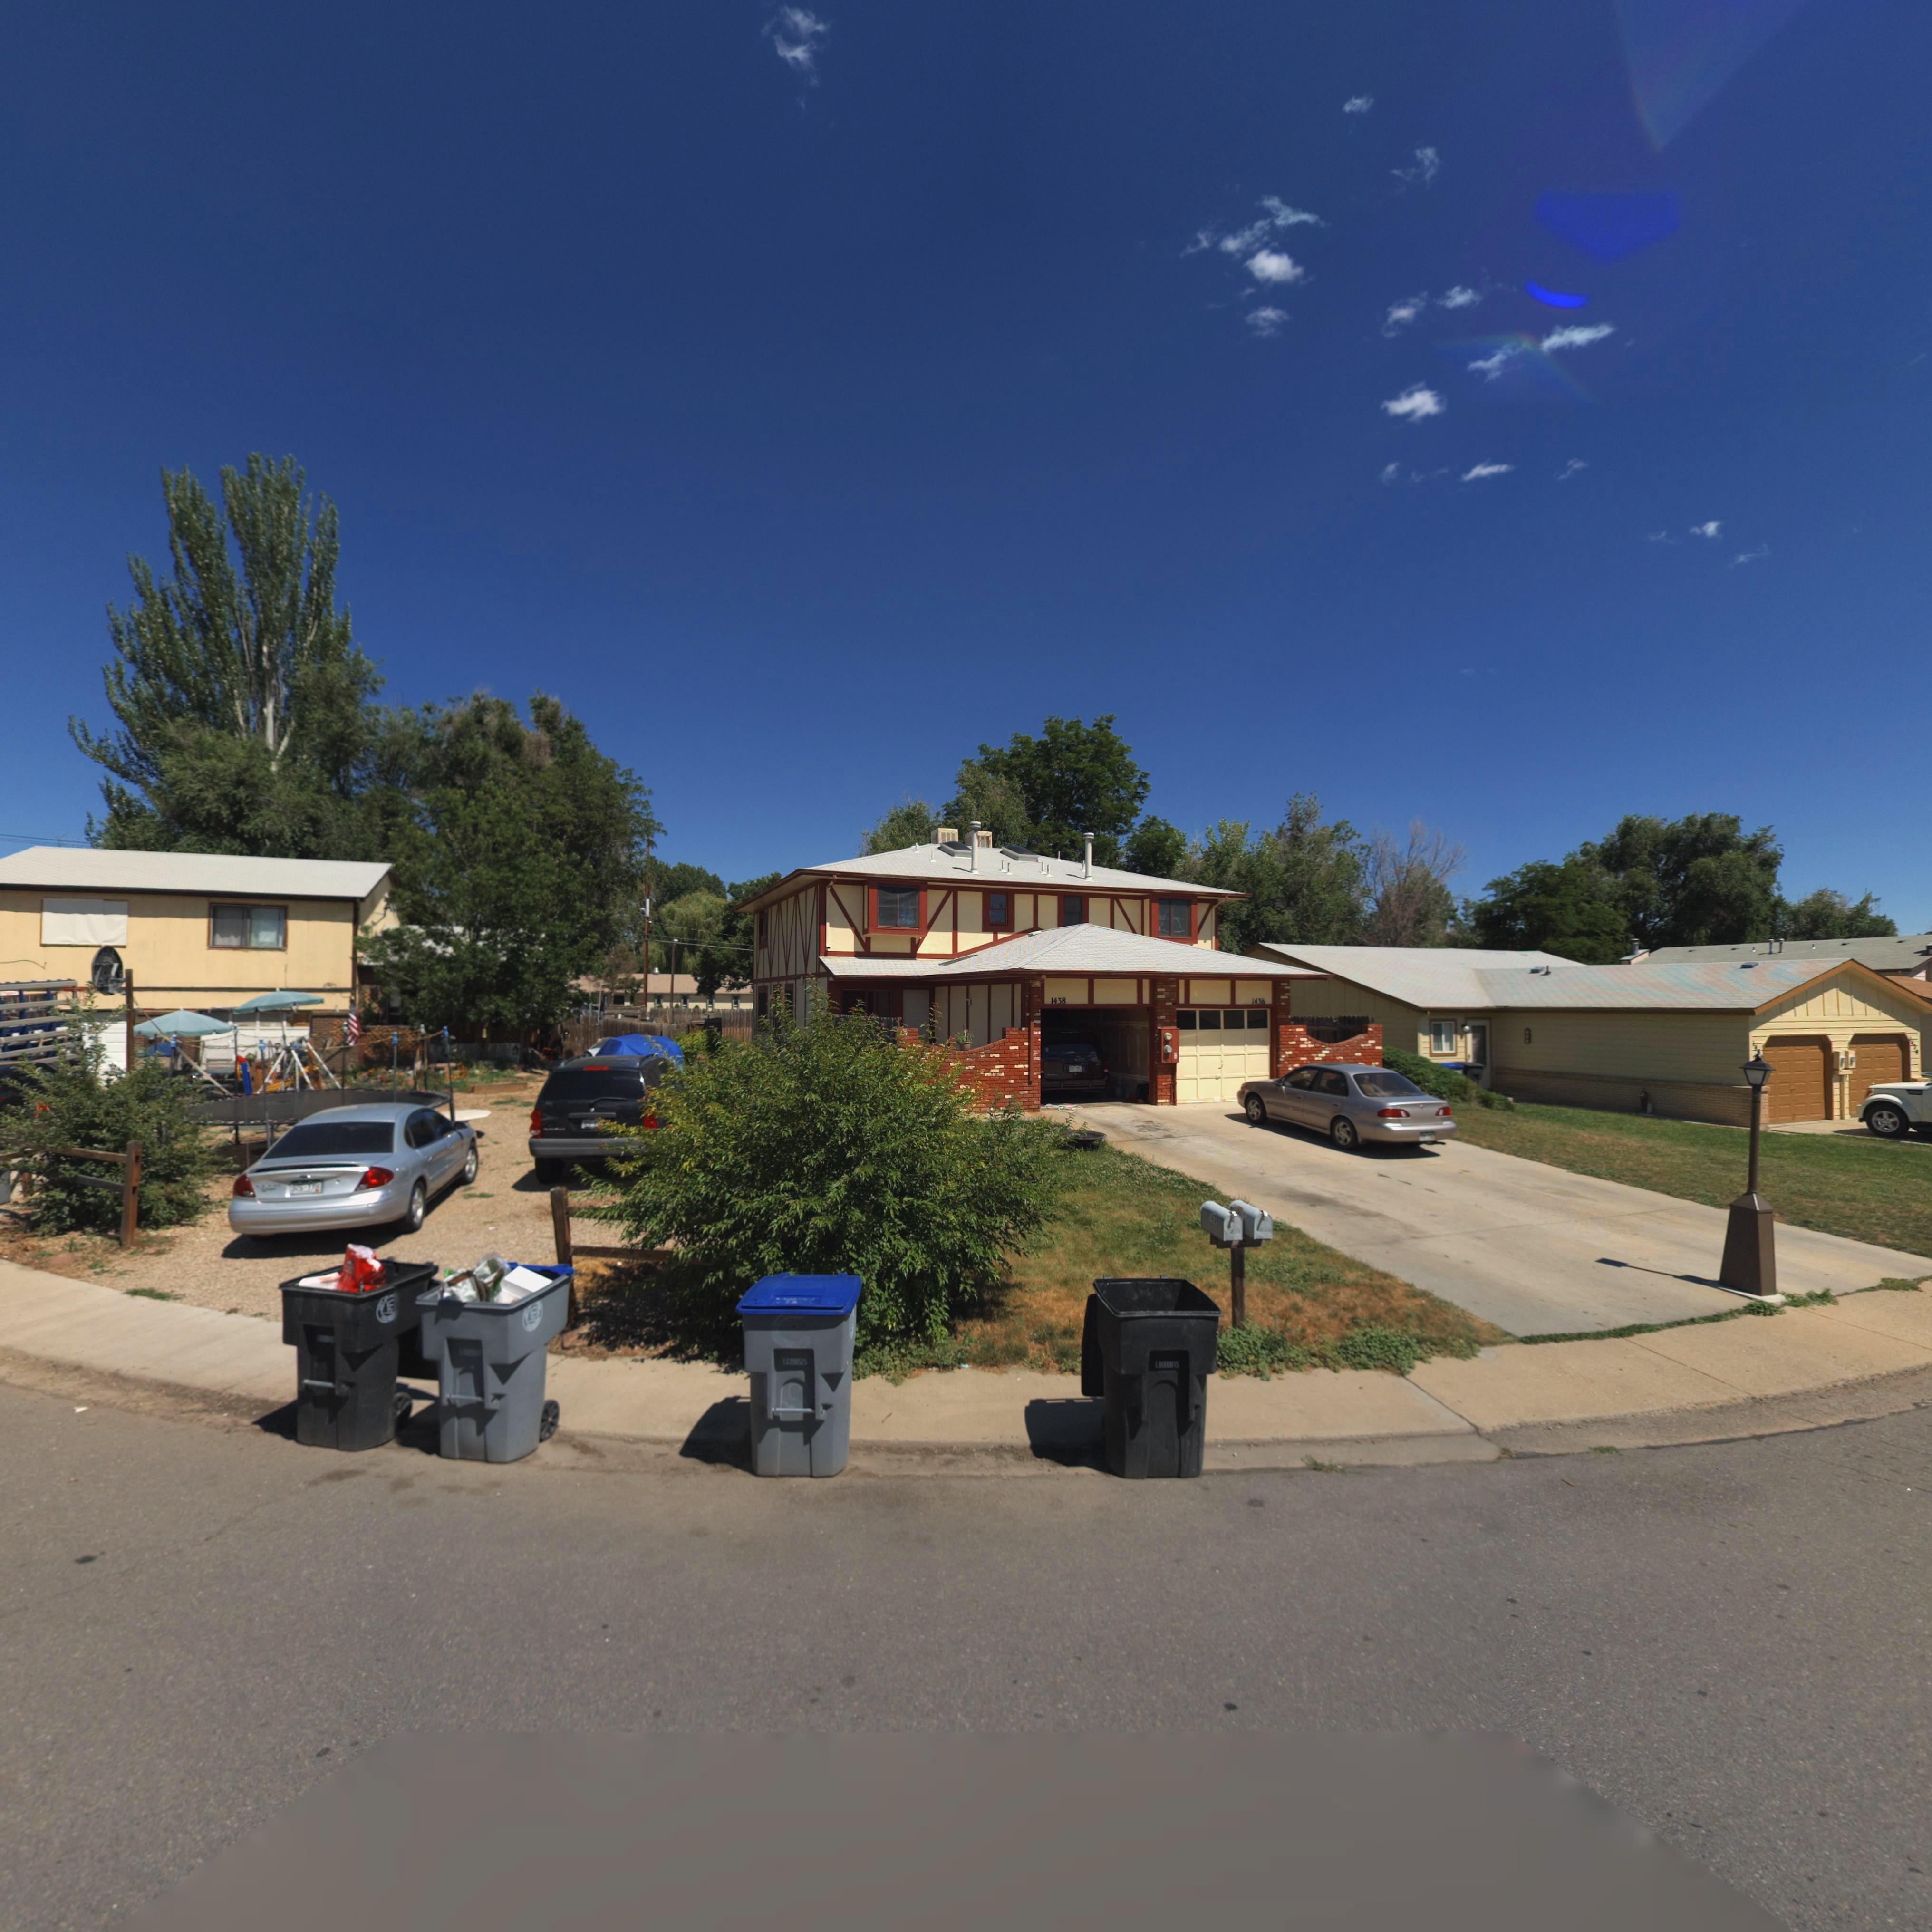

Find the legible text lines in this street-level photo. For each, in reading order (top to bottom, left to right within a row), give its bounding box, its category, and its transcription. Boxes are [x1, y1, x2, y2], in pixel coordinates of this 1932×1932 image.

[1051, 997, 1066, 1004] StreetNumber: 1438
[1252, 998, 1265, 1004] StreetNumber: 1436
[1210, 1214, 1218, 1225] StreetNumber: 43*